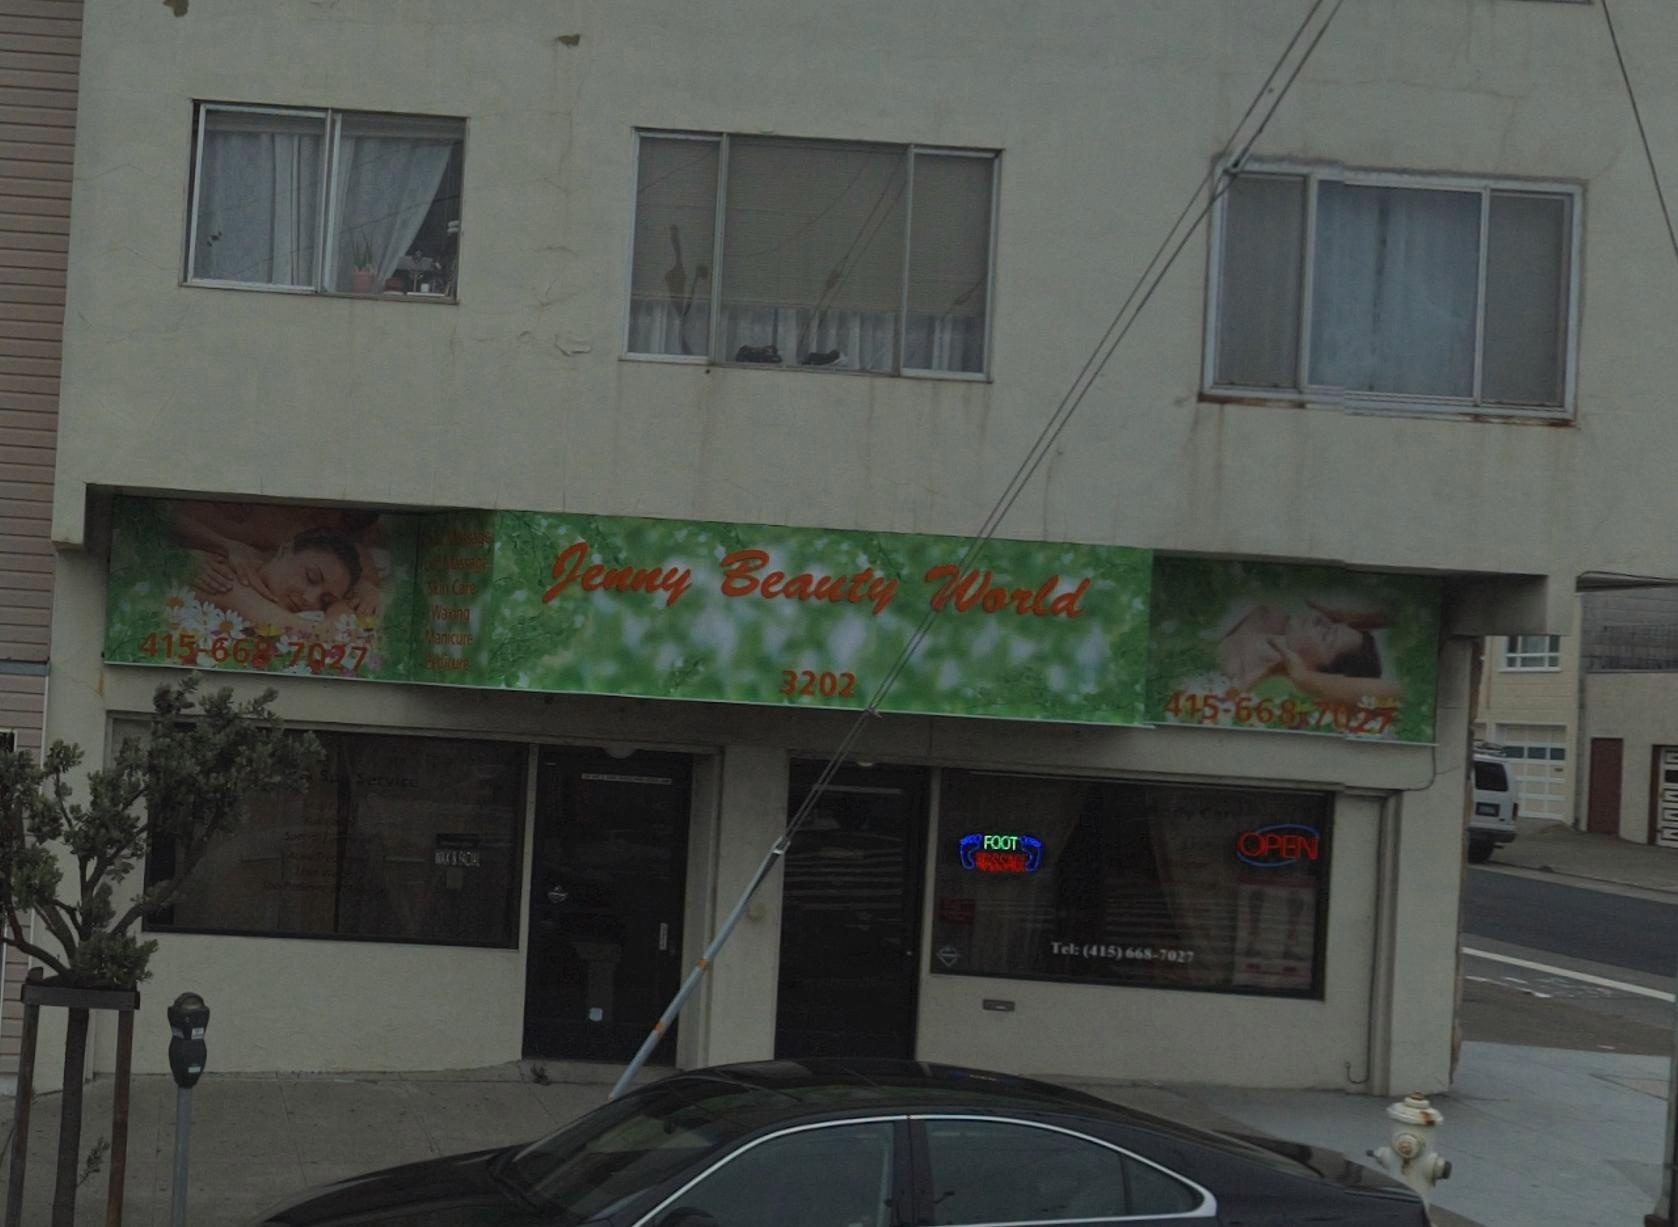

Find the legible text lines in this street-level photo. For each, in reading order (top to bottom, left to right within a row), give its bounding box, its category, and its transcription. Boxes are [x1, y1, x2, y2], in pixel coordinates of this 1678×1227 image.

[465, 528, 495, 551] None: sage
[441, 553, 492, 576] None: Massage
[425, 577, 479, 599] None: Skin Care
[537, 538, 1096, 622] BusinessName: Jenny Beauty World
[428, 601, 472, 626] None: Waxing
[423, 626, 476, 649] None: Manicure
[135, 630, 373, 675] None: 415-66*-7027
[422, 650, 472, 674] None: **dicure
[776, 667, 859, 700] StreetNumber: 3202
[1159, 688, 1399, 737] None: 415-668-7027
[316, 767, 331, 784] None: S
[354, 770, 421, 790] None: Service
[981, 832, 1023, 853] None: FOOT
[1235, 829, 1321, 863] None: OPEN
[1047, 939, 1199, 967] None: Tel: (415) 668-7027